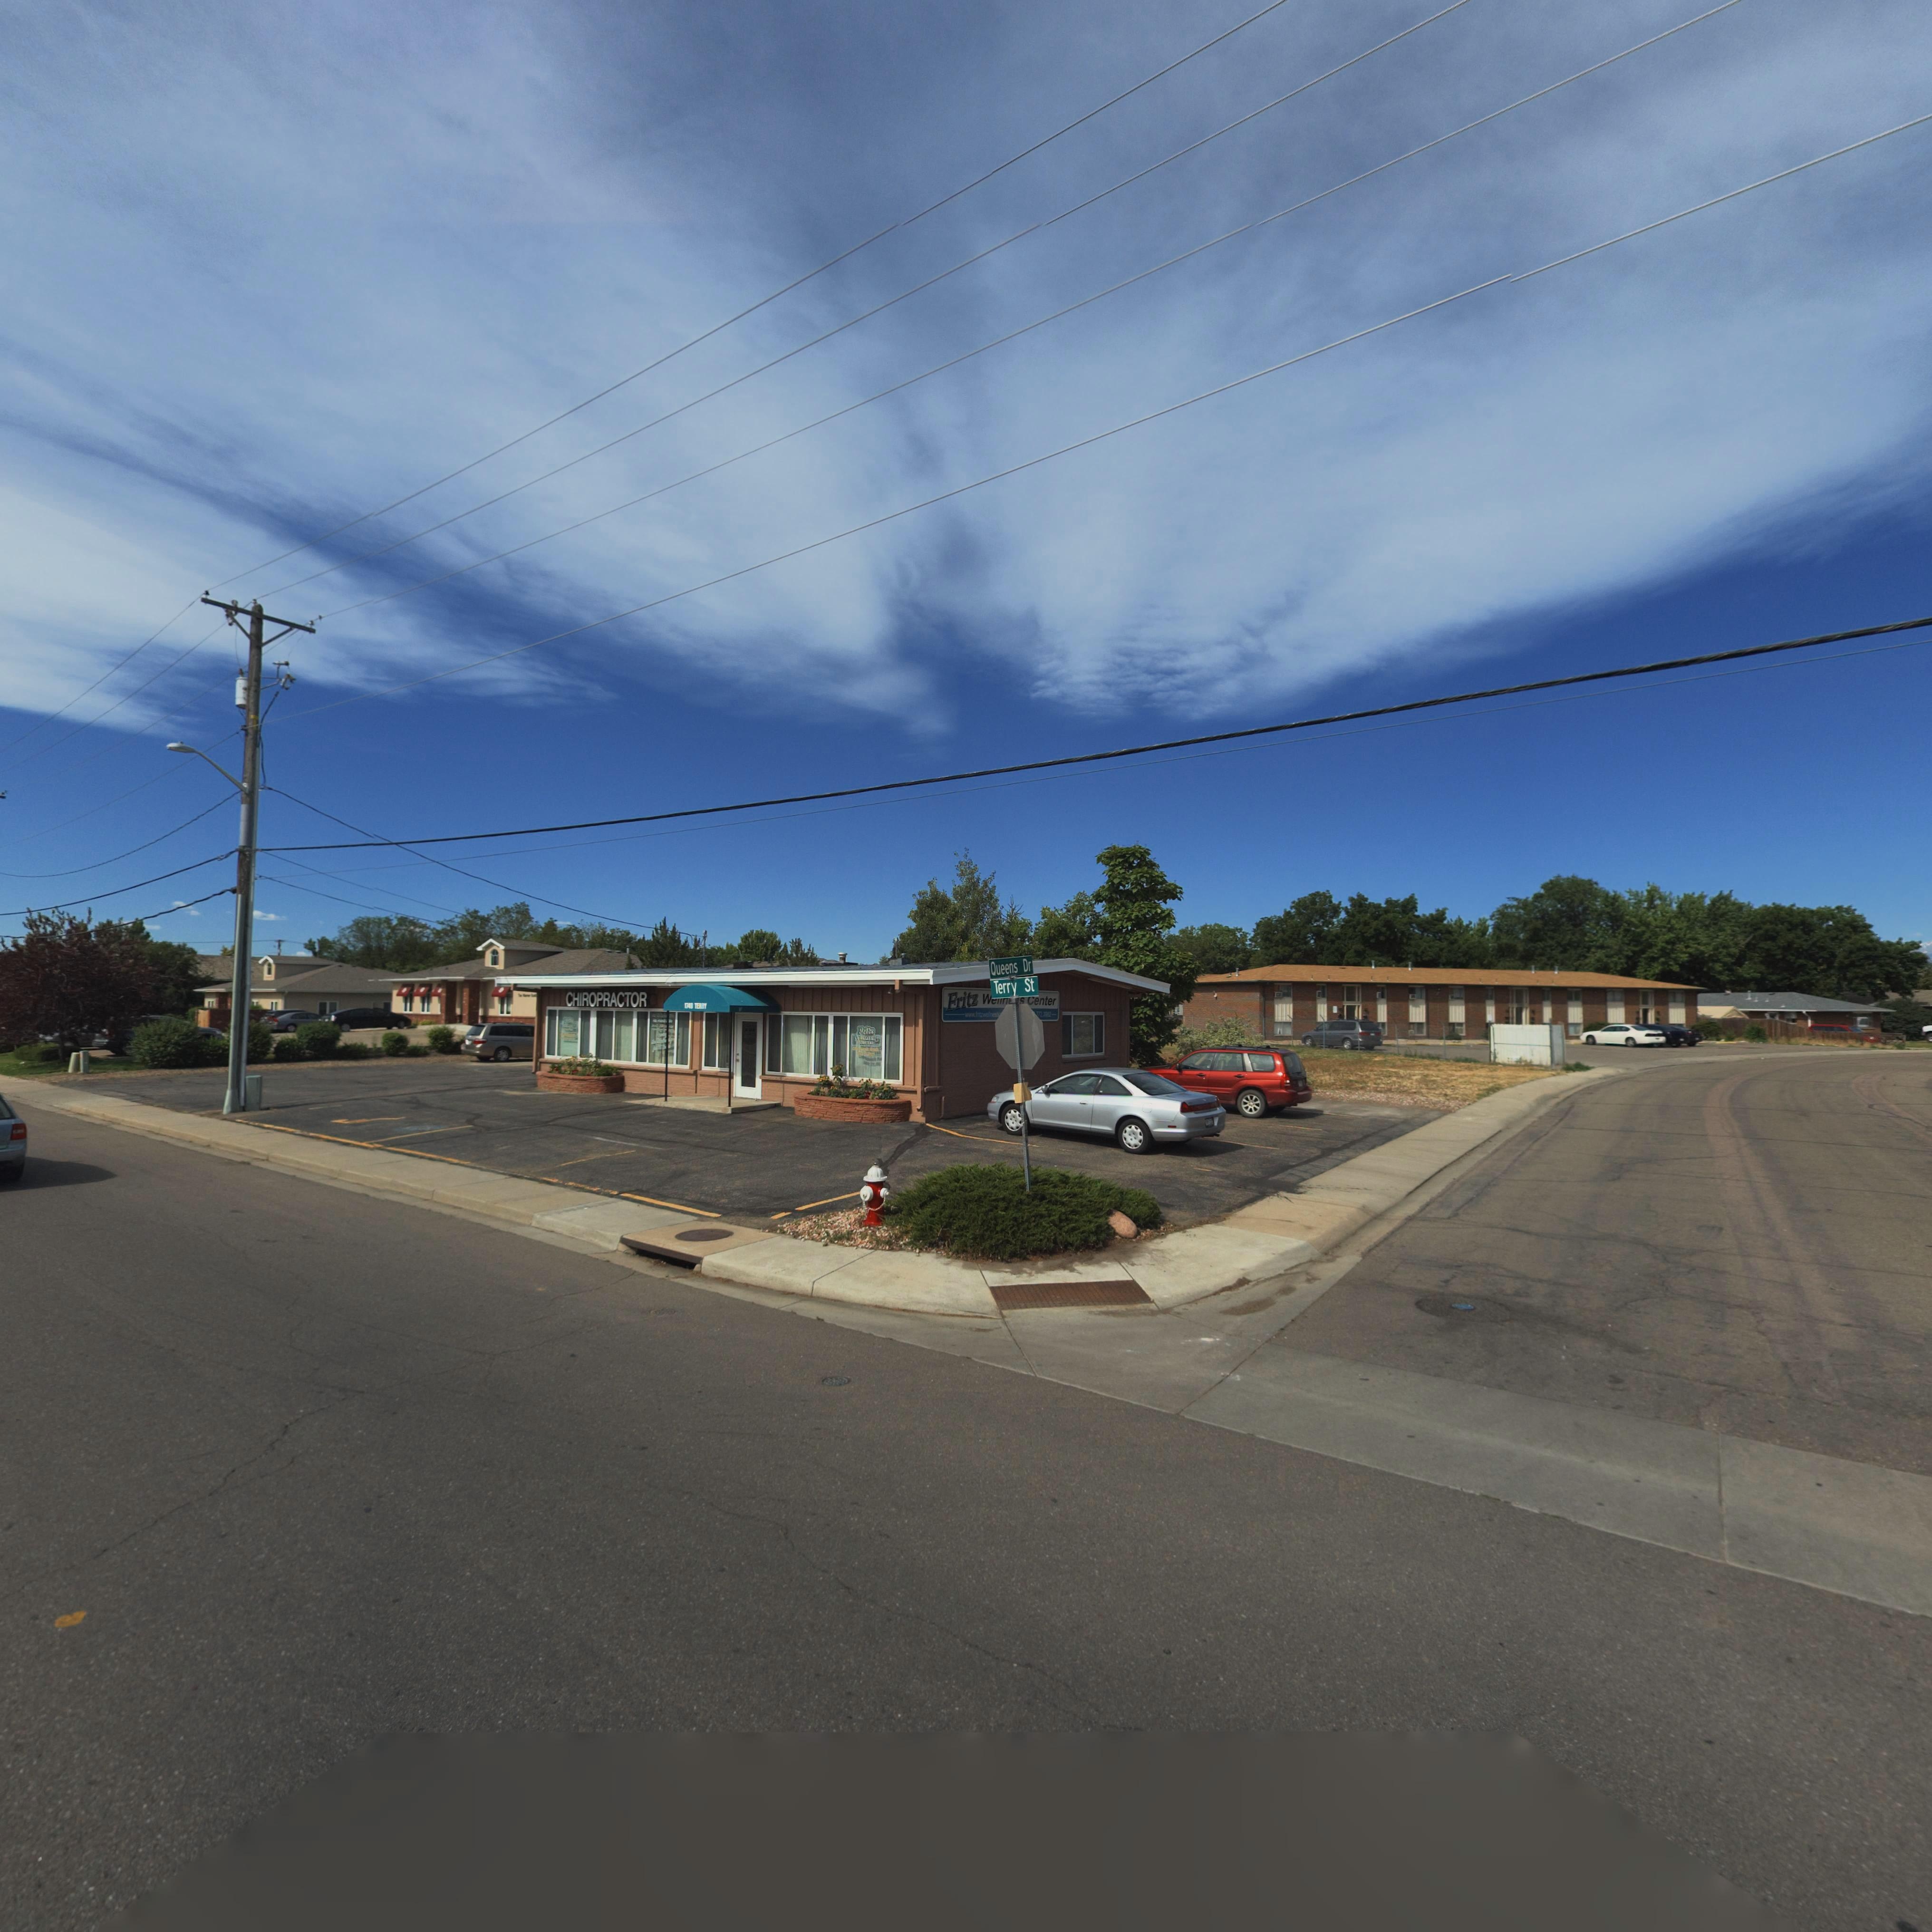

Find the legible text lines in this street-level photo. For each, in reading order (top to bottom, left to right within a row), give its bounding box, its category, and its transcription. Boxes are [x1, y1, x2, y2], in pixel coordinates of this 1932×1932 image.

[990, 958, 1031, 976] StreetName: Queens Dr
[992, 977, 1034, 996] StreetName: Terry St
[944, 990, 1057, 1012] BusinessName: Fritz W***n**s Center
[684, 1002, 694, 1009] StreetNumber: 1749
[694, 1002, 707, 1009] StreetName: TER*Y
[857, 1026, 874, 1035] BusinessName: F*itz
[852, 1034, 879, 1043] BusinessName: WEL****S